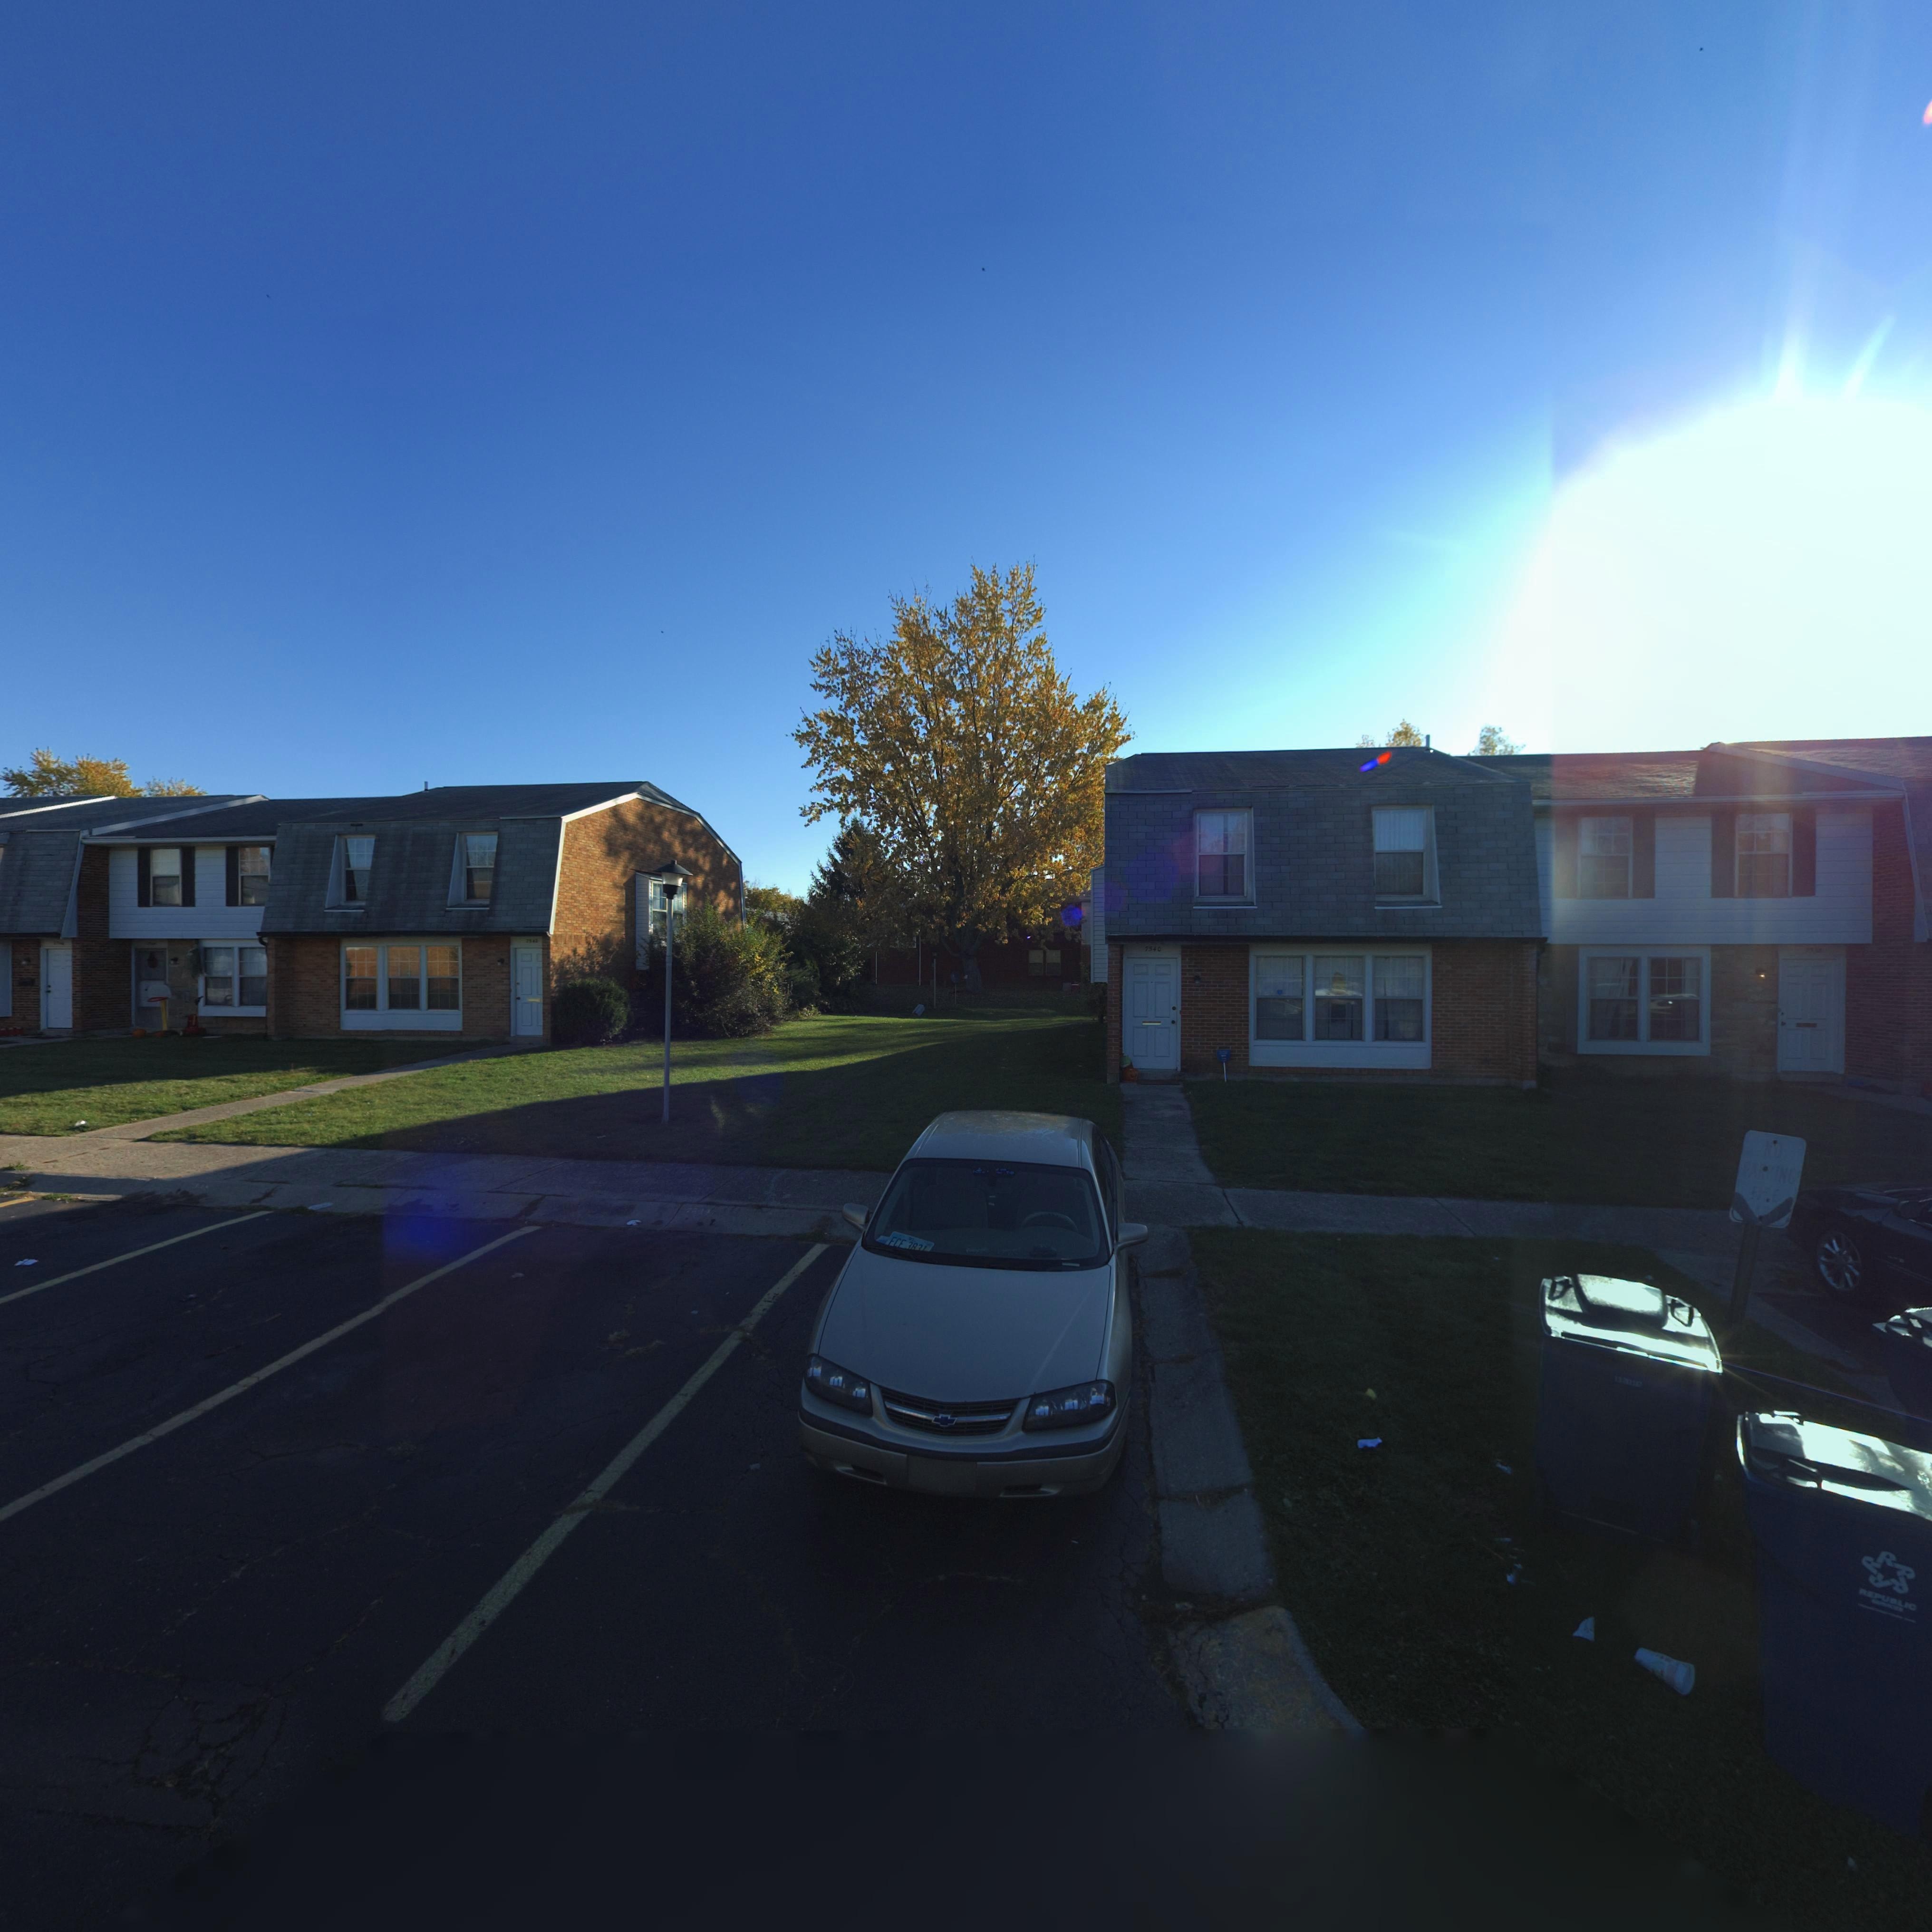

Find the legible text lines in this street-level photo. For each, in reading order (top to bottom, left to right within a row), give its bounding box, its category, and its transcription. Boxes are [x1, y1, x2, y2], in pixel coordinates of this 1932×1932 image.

[525, 938, 539, 944] StreetNumber: 75**
[1144, 945, 1162, 953] StreetNumber: 7540